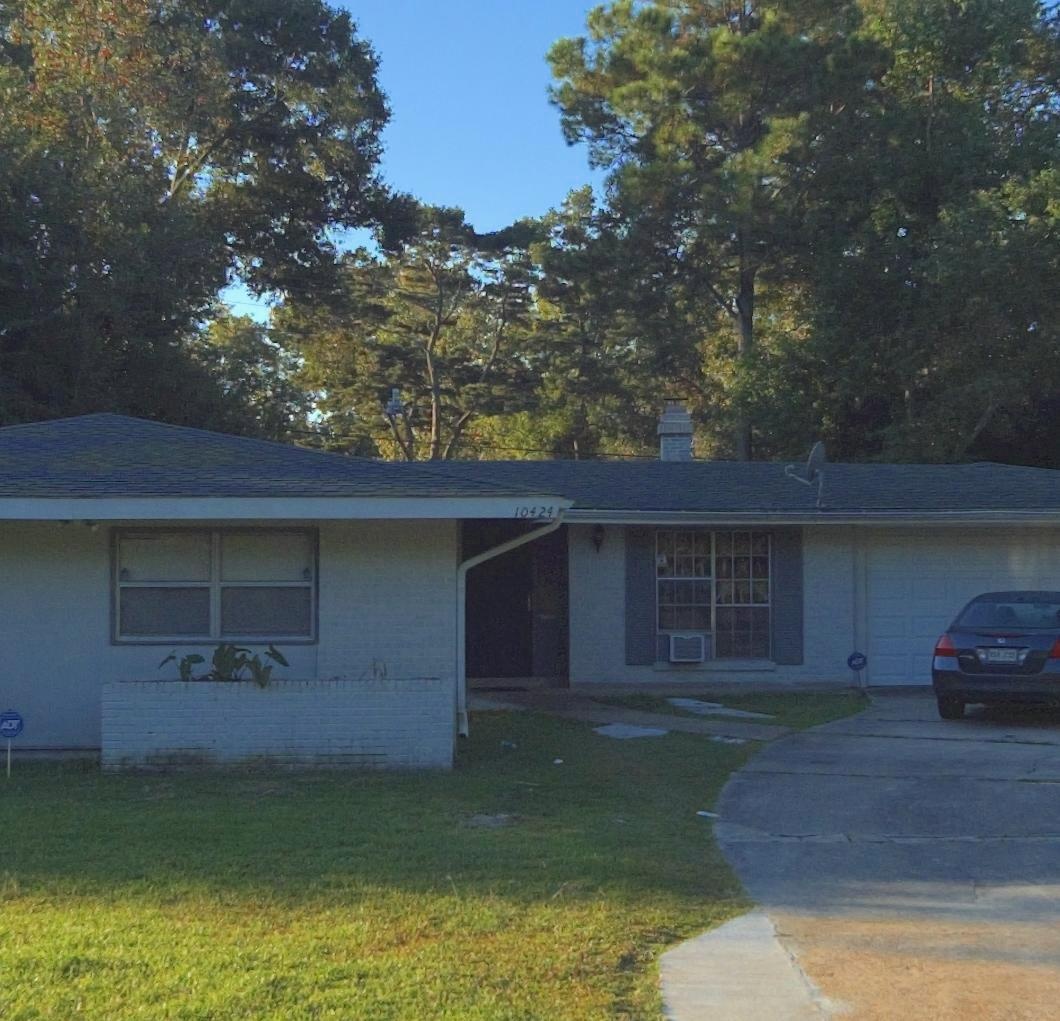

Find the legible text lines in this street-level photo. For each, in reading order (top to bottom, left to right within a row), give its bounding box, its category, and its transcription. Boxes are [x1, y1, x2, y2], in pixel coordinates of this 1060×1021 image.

[512, 504, 555, 520] StreetNumber: 10424
[0, 718, 23, 731] None: ADT